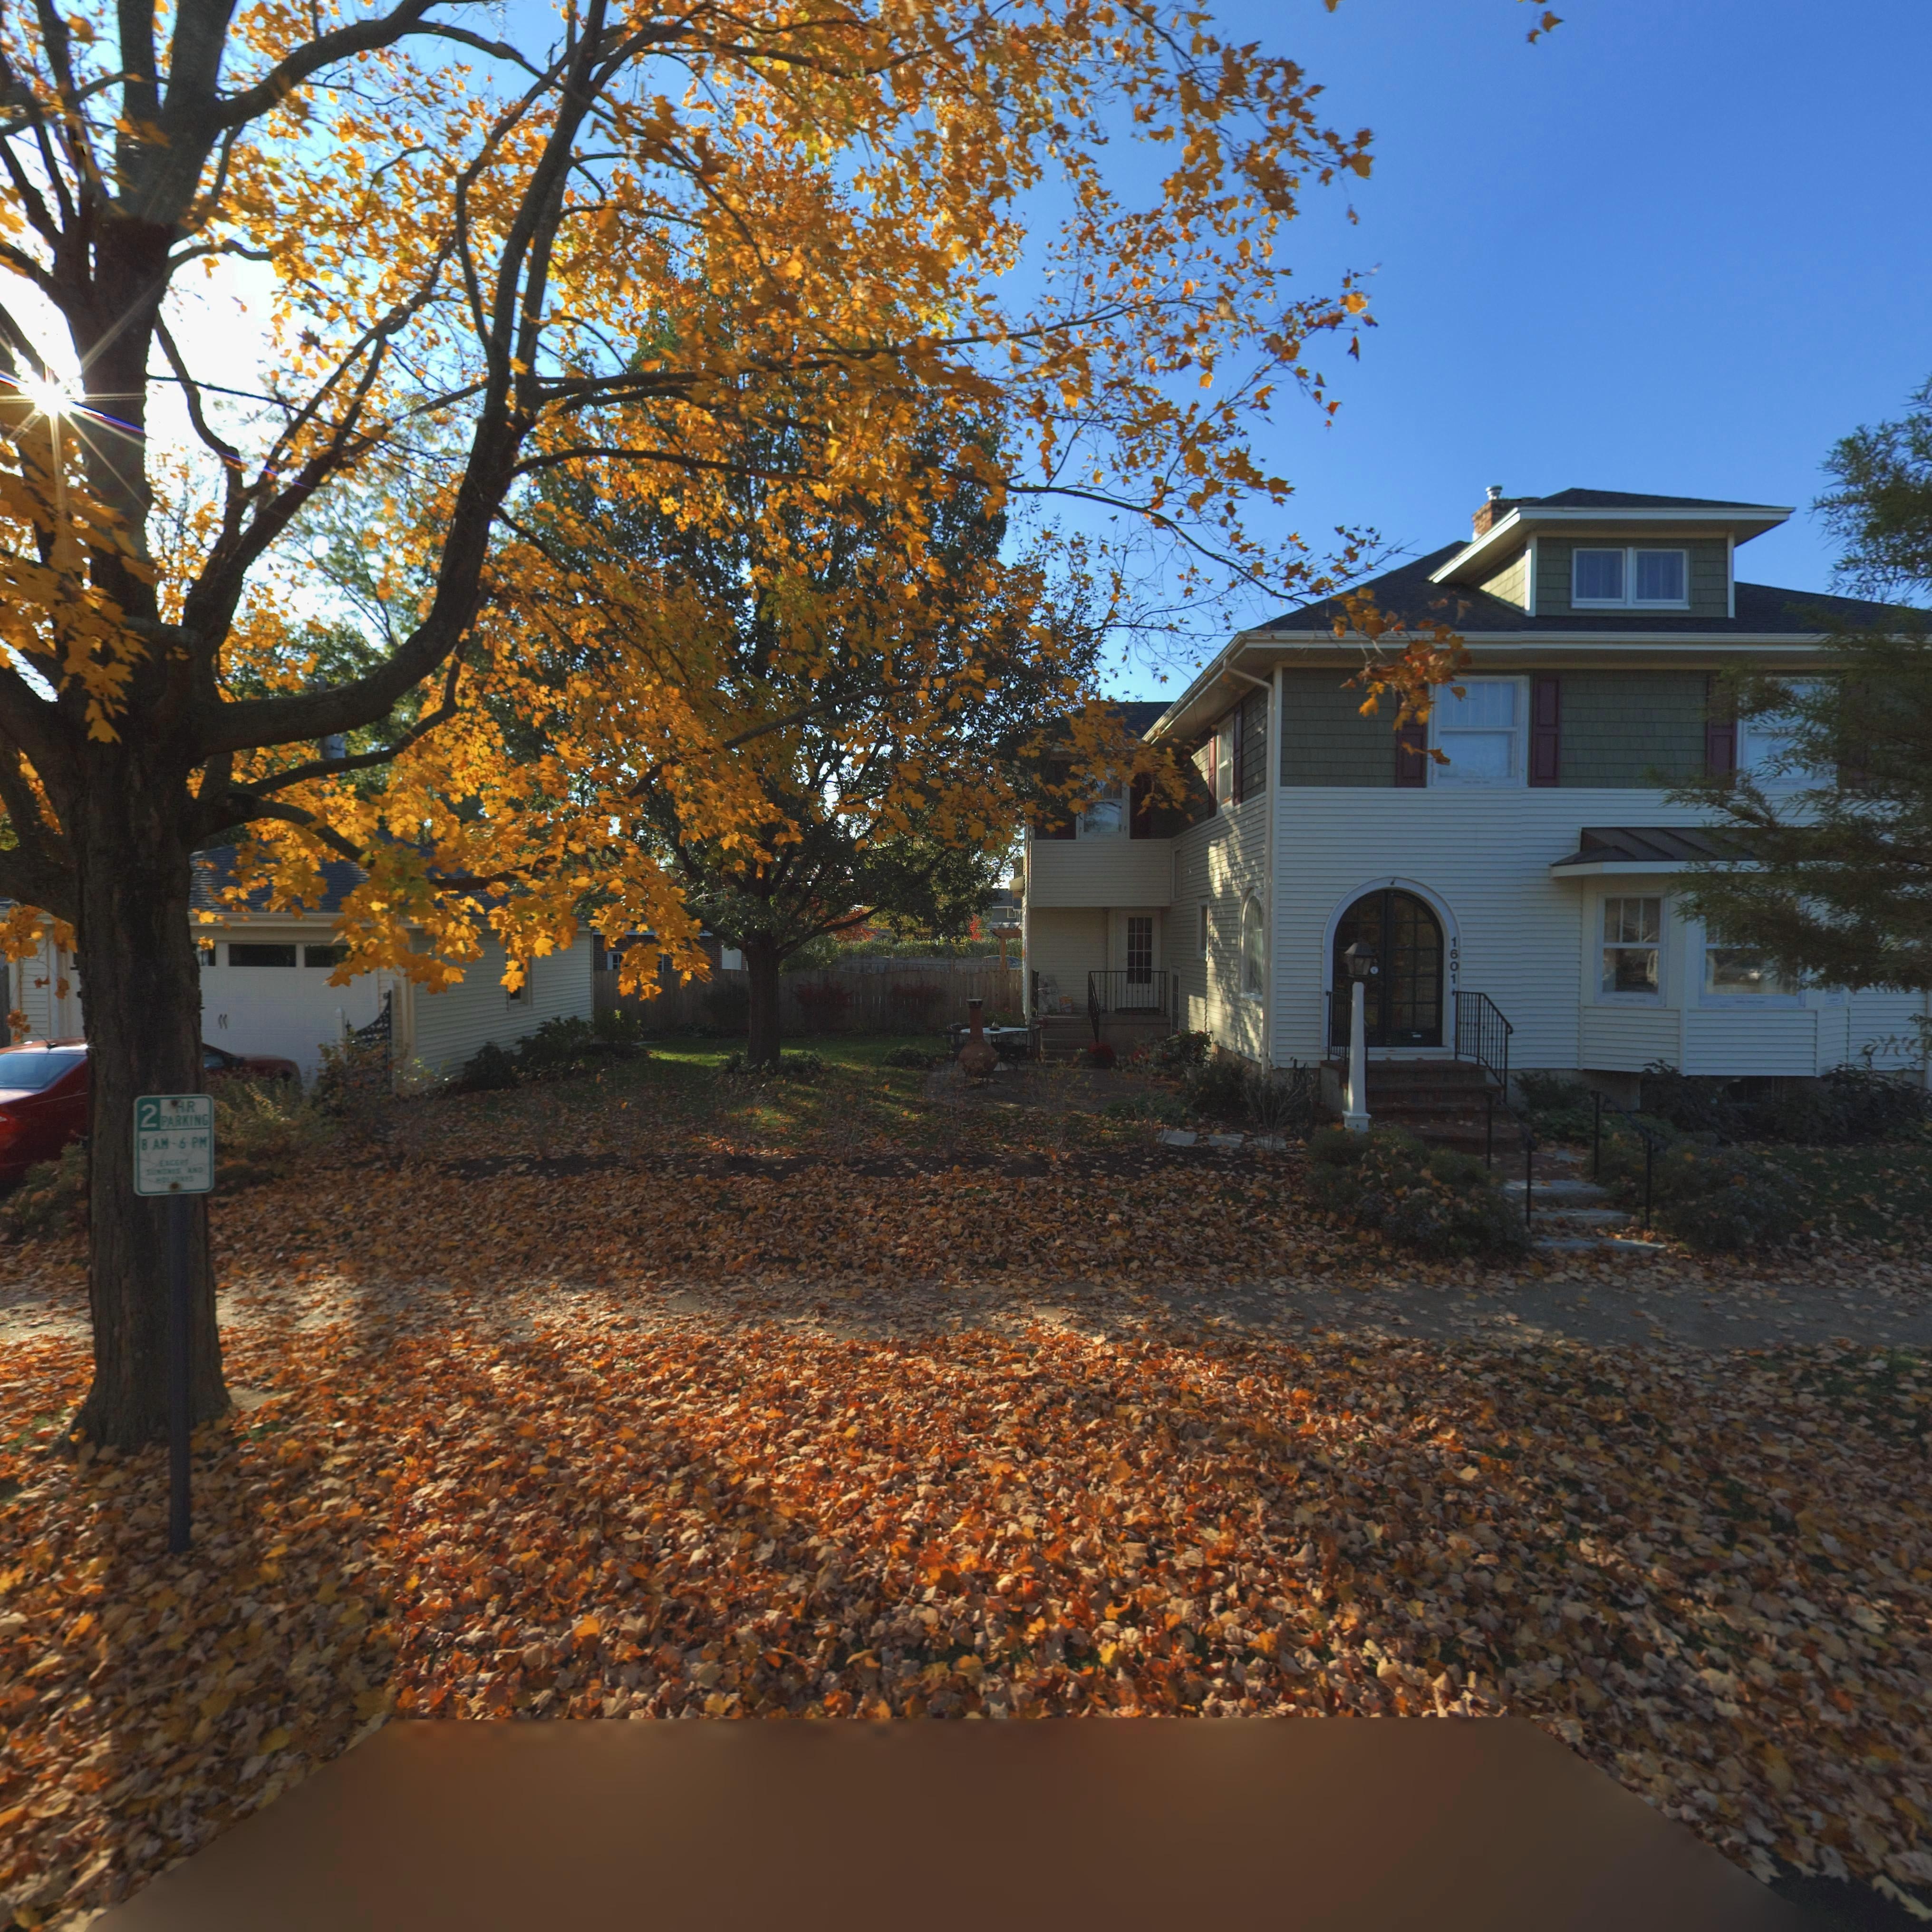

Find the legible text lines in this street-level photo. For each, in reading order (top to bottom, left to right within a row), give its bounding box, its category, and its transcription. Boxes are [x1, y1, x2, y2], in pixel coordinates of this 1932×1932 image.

[1449, 936, 1459, 984] StreetNumber: 1601